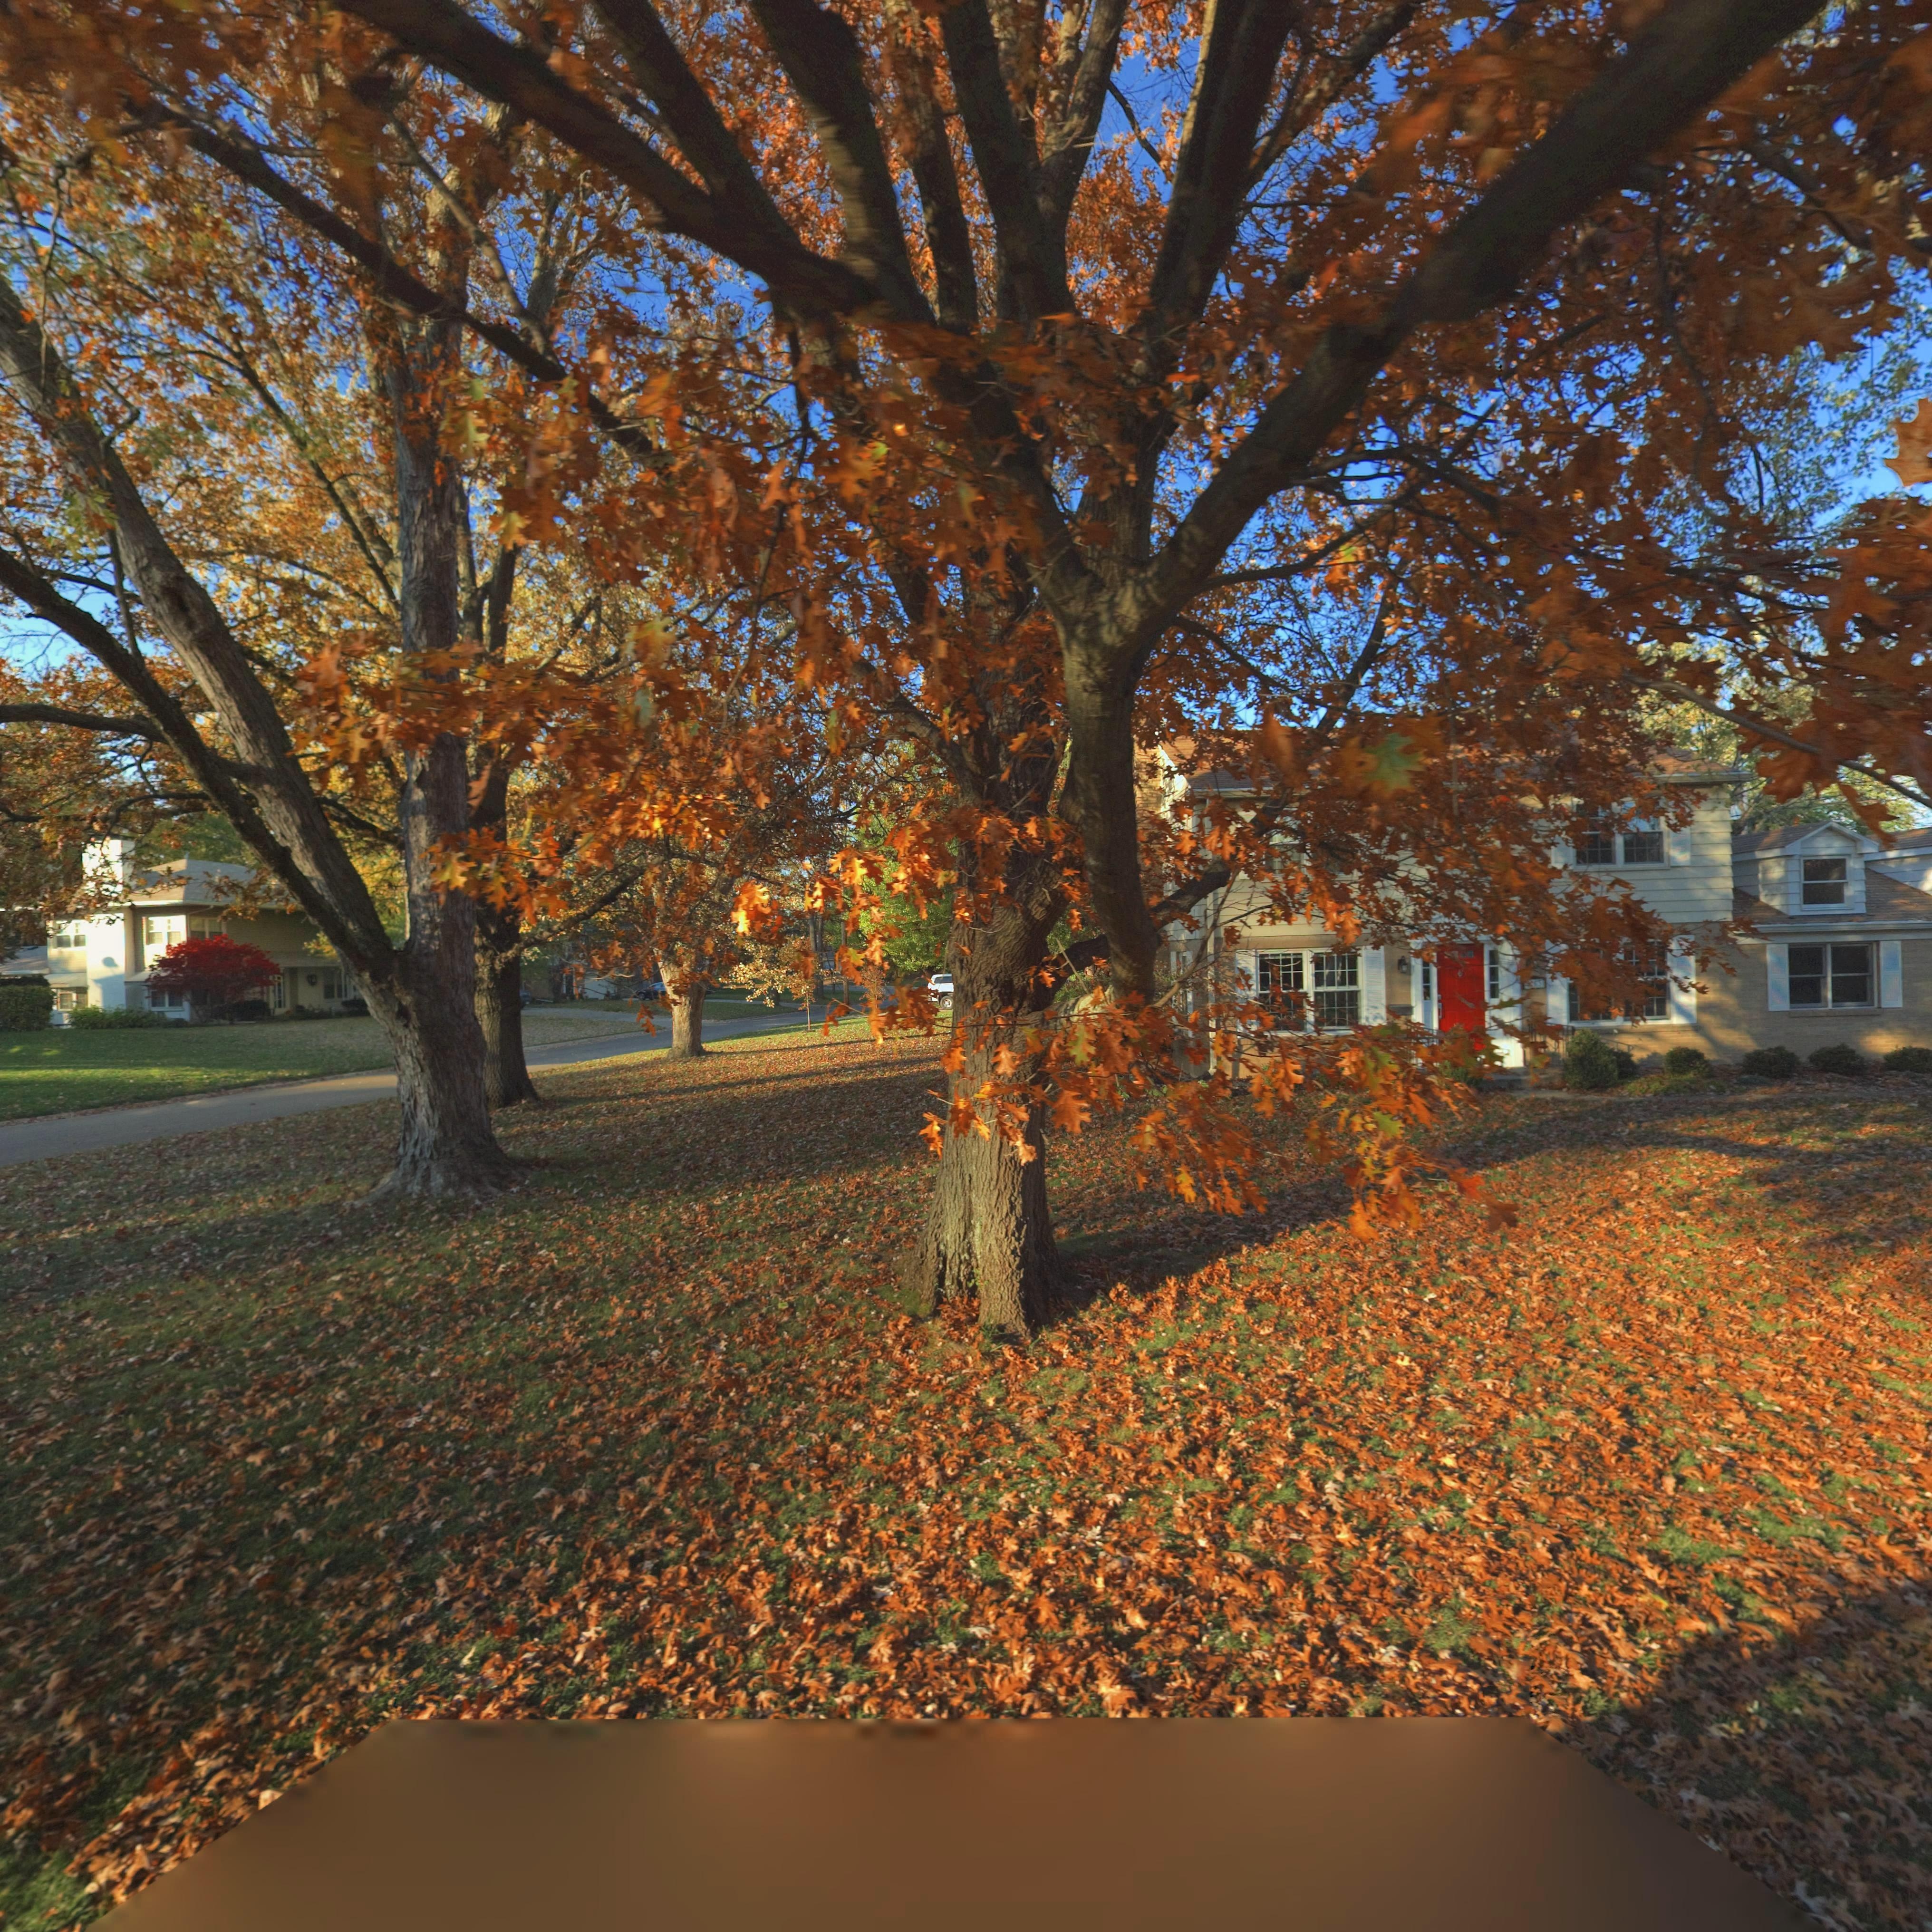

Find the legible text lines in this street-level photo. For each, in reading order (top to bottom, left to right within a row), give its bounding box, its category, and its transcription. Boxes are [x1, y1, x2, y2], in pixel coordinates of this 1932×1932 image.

[1527, 979, 1543, 988] StreetNumber: *65